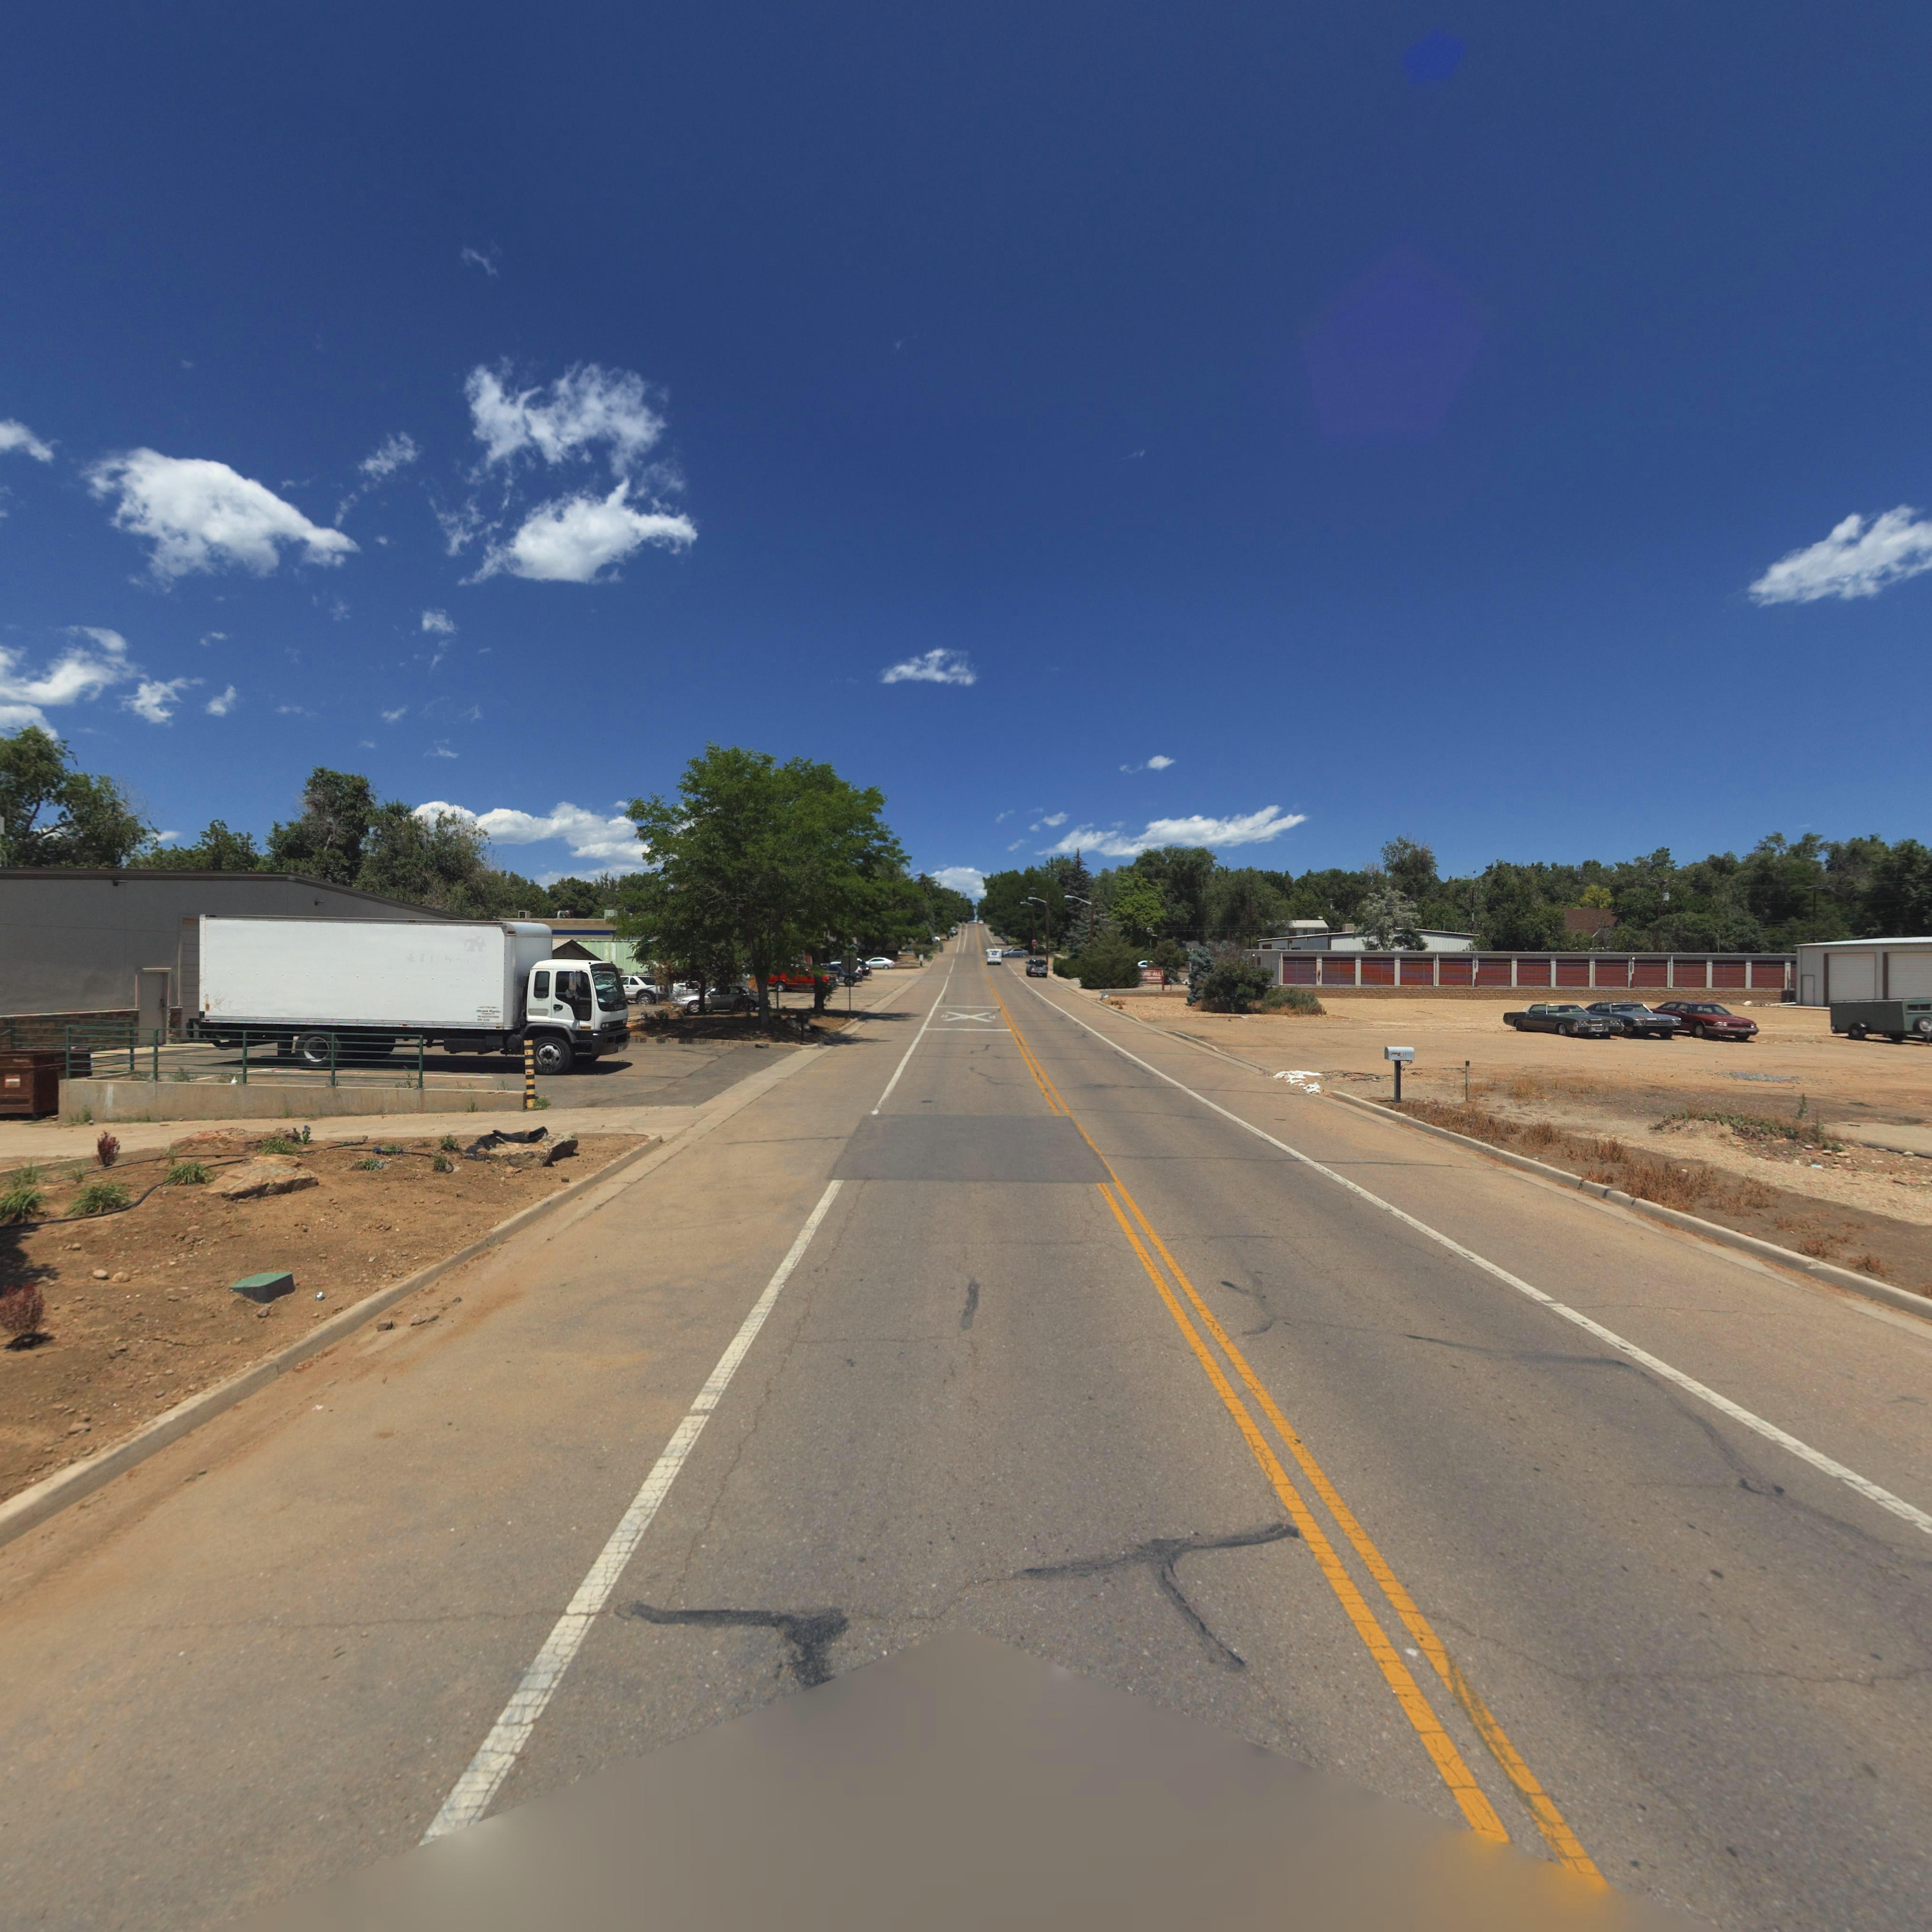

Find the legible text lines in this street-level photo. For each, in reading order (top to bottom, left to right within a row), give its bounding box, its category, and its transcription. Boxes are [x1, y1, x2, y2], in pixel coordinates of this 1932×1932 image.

[803, 954, 812, 965] StreetNumber: 41
[1139, 971, 1161, 976] BusinessName: TORE-ALL
[1401, 1052, 1406, 1055] StreetNumber: 1**